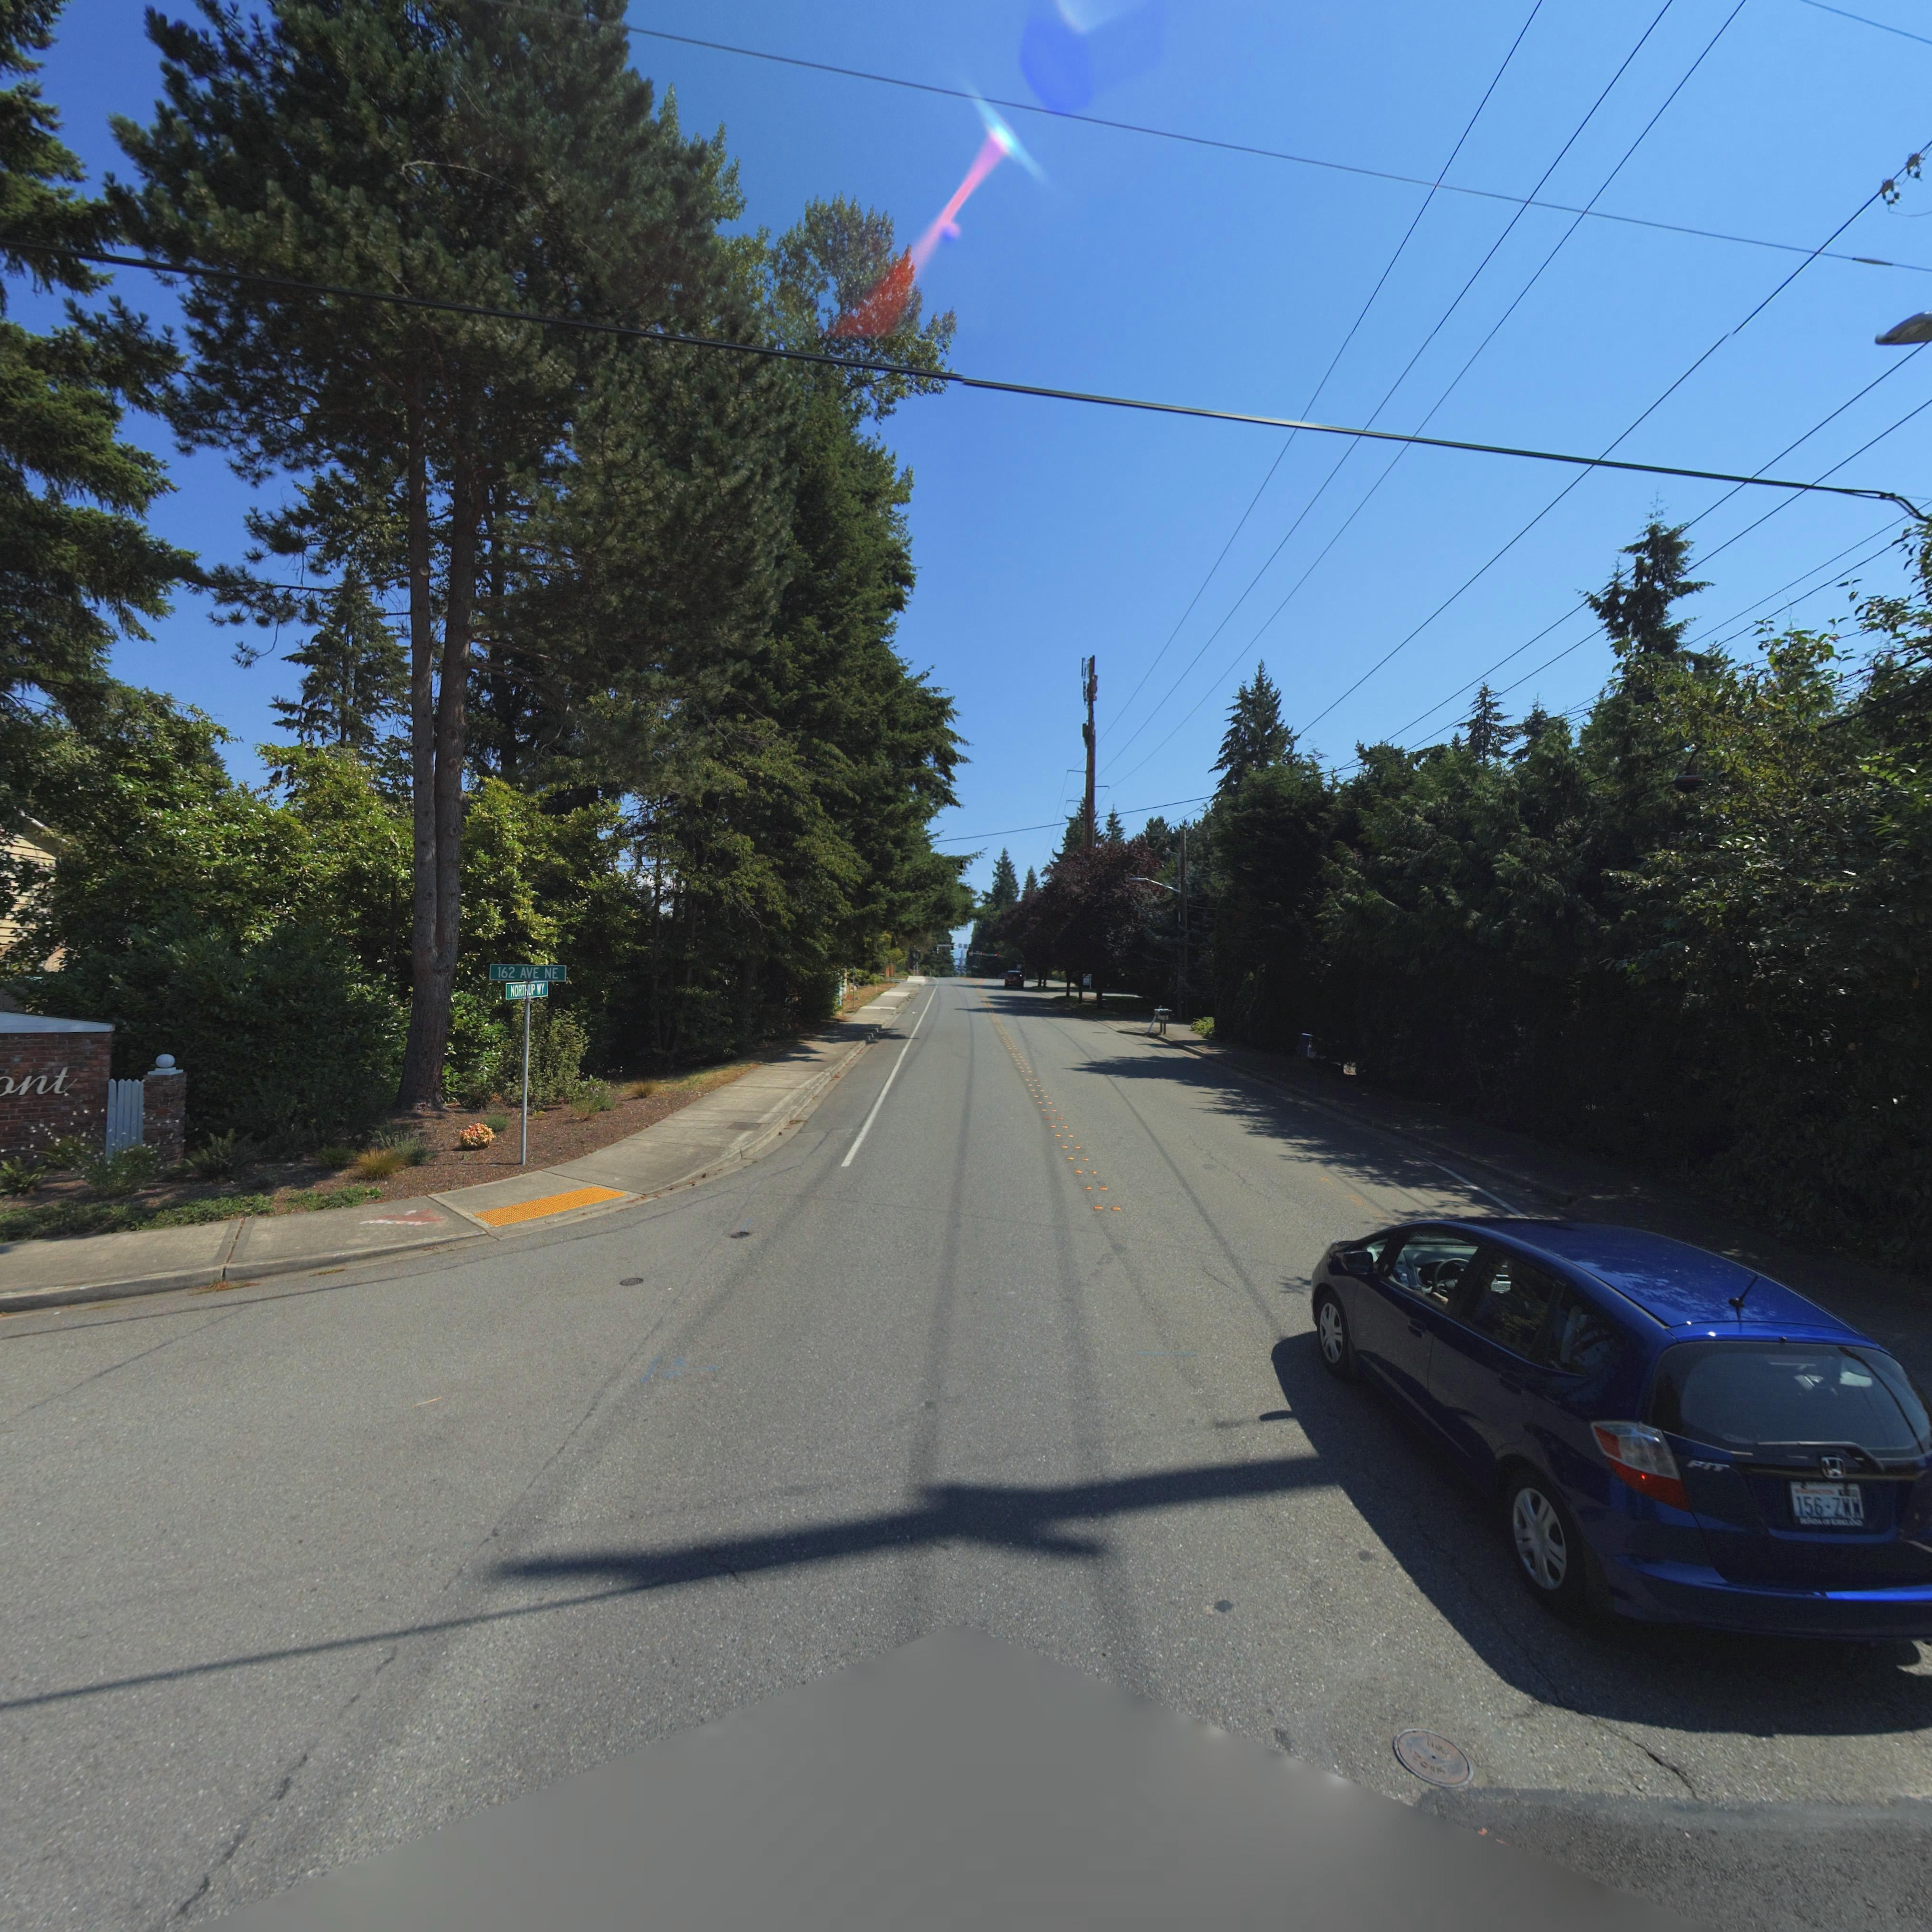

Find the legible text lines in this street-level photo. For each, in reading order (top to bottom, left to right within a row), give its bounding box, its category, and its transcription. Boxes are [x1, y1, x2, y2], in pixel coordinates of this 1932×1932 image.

[497, 966, 558, 979] StreetName: 162 AVE NE
[509, 983, 545, 997] StreetName: NORTHUP WY